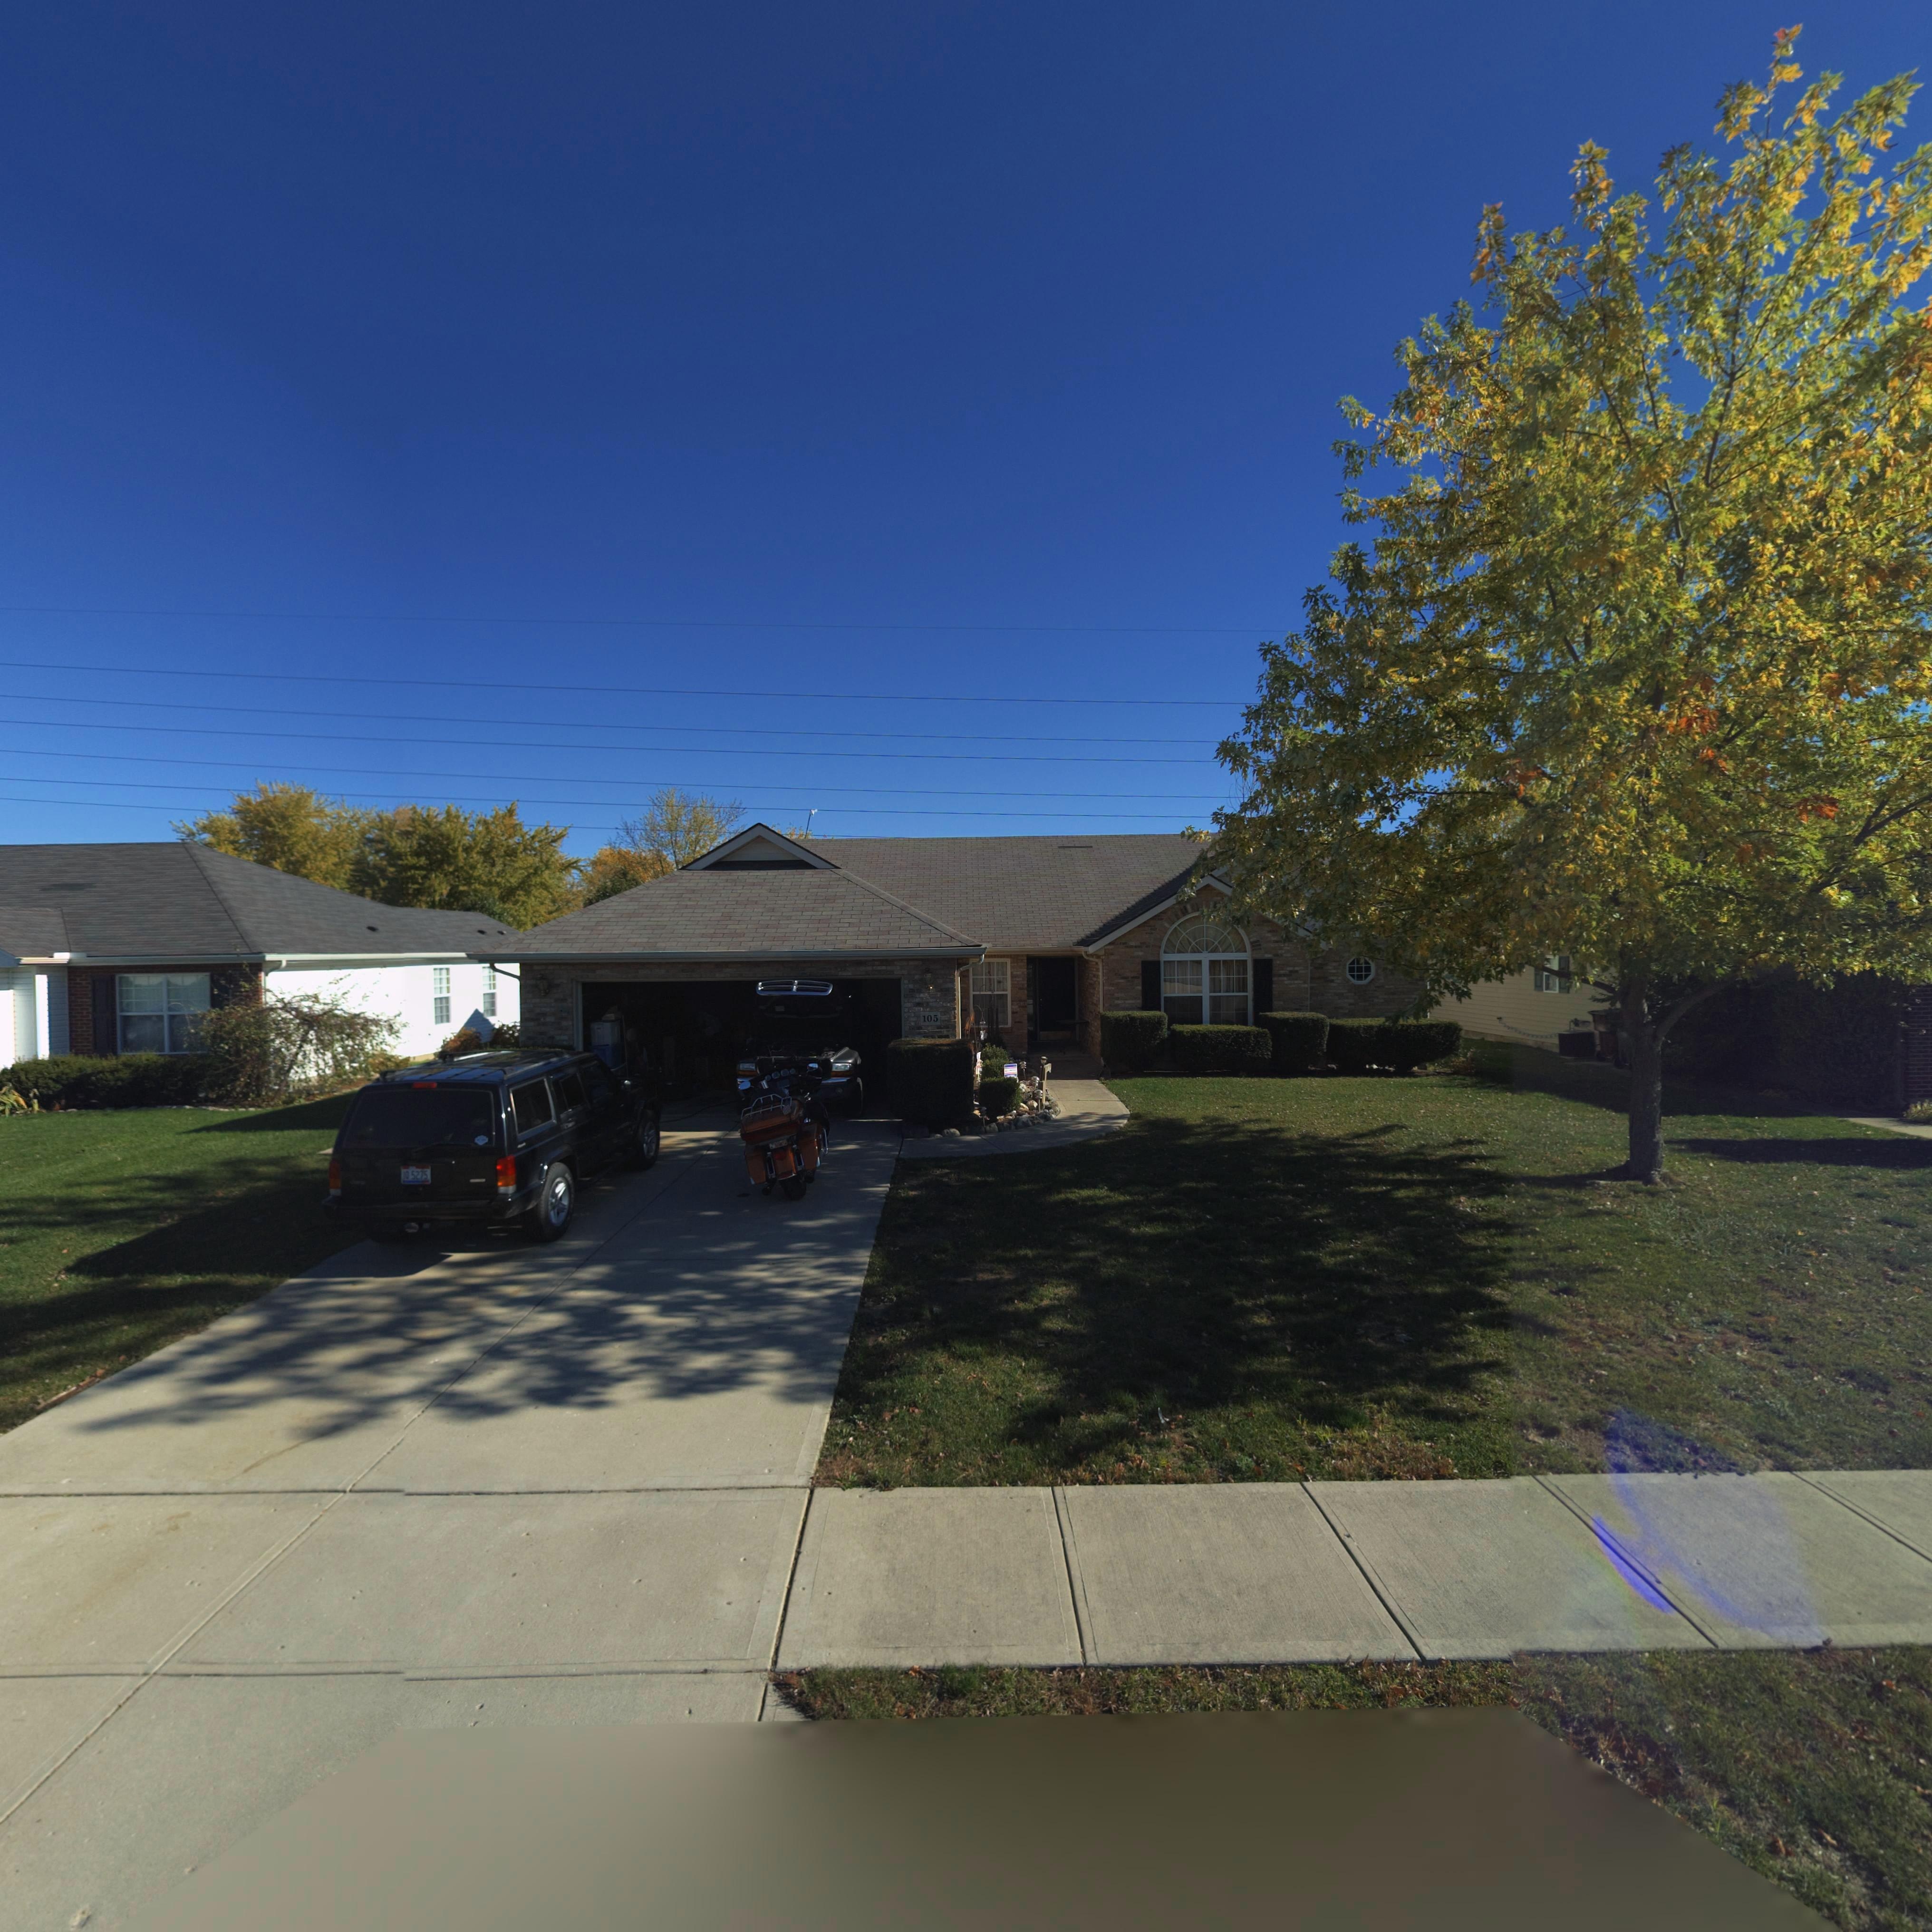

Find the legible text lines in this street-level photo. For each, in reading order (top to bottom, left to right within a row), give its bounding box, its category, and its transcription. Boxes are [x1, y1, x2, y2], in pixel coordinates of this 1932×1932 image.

[921, 1014, 939, 1023] StreetNumber: 105